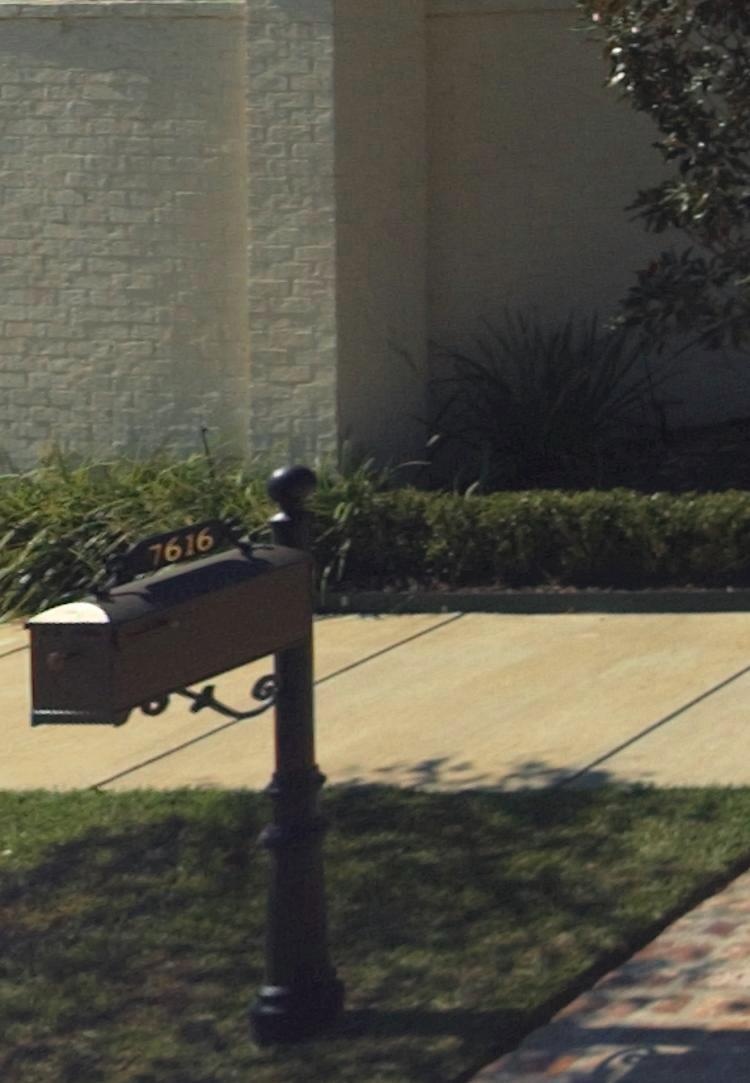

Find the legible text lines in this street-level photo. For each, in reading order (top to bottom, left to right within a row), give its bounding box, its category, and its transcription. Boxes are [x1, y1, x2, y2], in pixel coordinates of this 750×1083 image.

[147, 525, 218, 569] StreetNumber: 7616